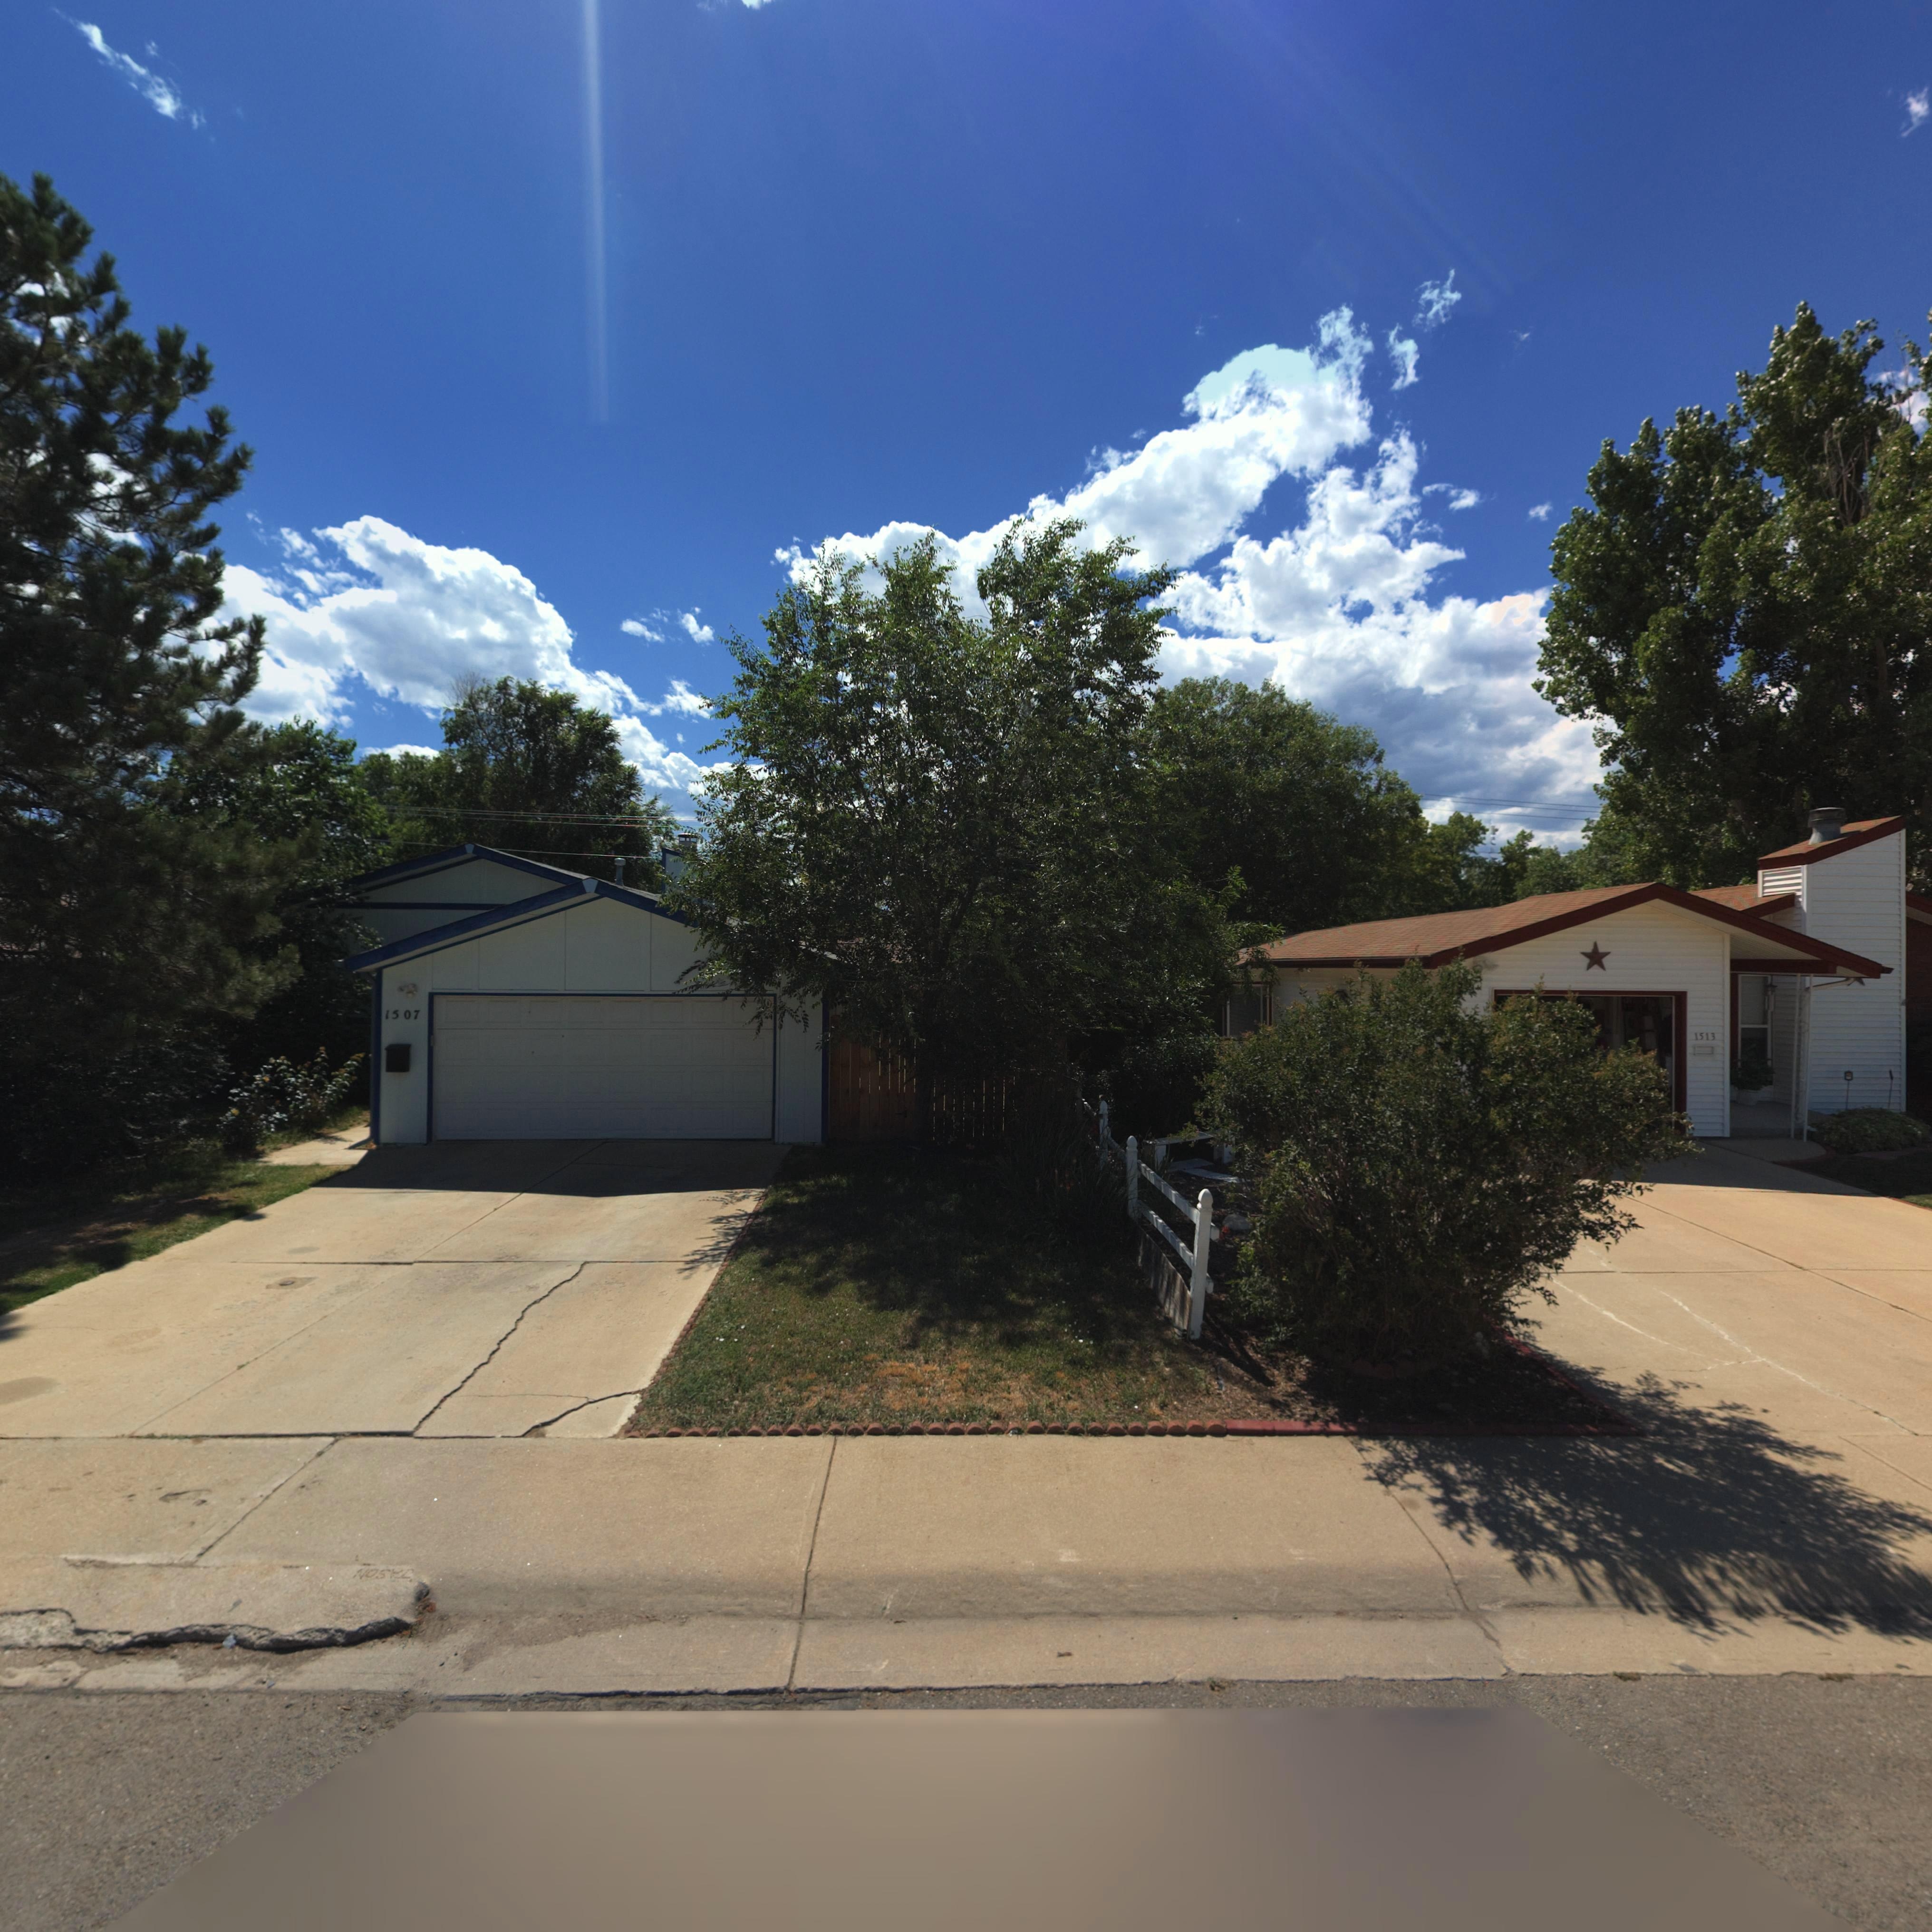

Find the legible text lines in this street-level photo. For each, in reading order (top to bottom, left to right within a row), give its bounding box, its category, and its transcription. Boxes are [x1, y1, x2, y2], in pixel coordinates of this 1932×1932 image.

[384, 1009, 422, 1020] StreetNumber: 1507
[1693, 1032, 1716, 1041] StreetNumber: 1513